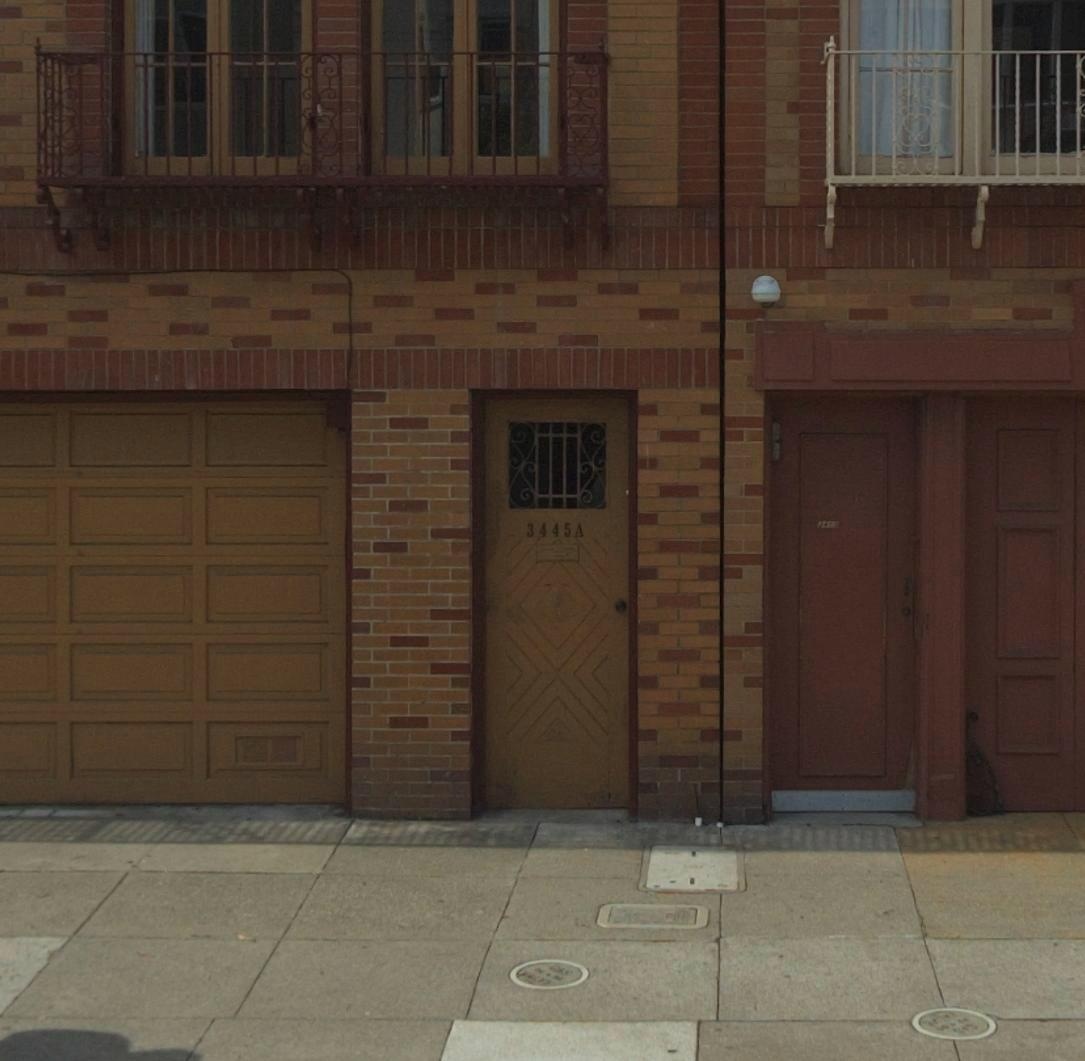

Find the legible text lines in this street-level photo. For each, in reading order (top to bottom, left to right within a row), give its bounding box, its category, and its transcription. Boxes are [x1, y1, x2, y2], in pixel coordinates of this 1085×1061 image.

[524, 520, 587, 539] StreetNumber: 3445 A